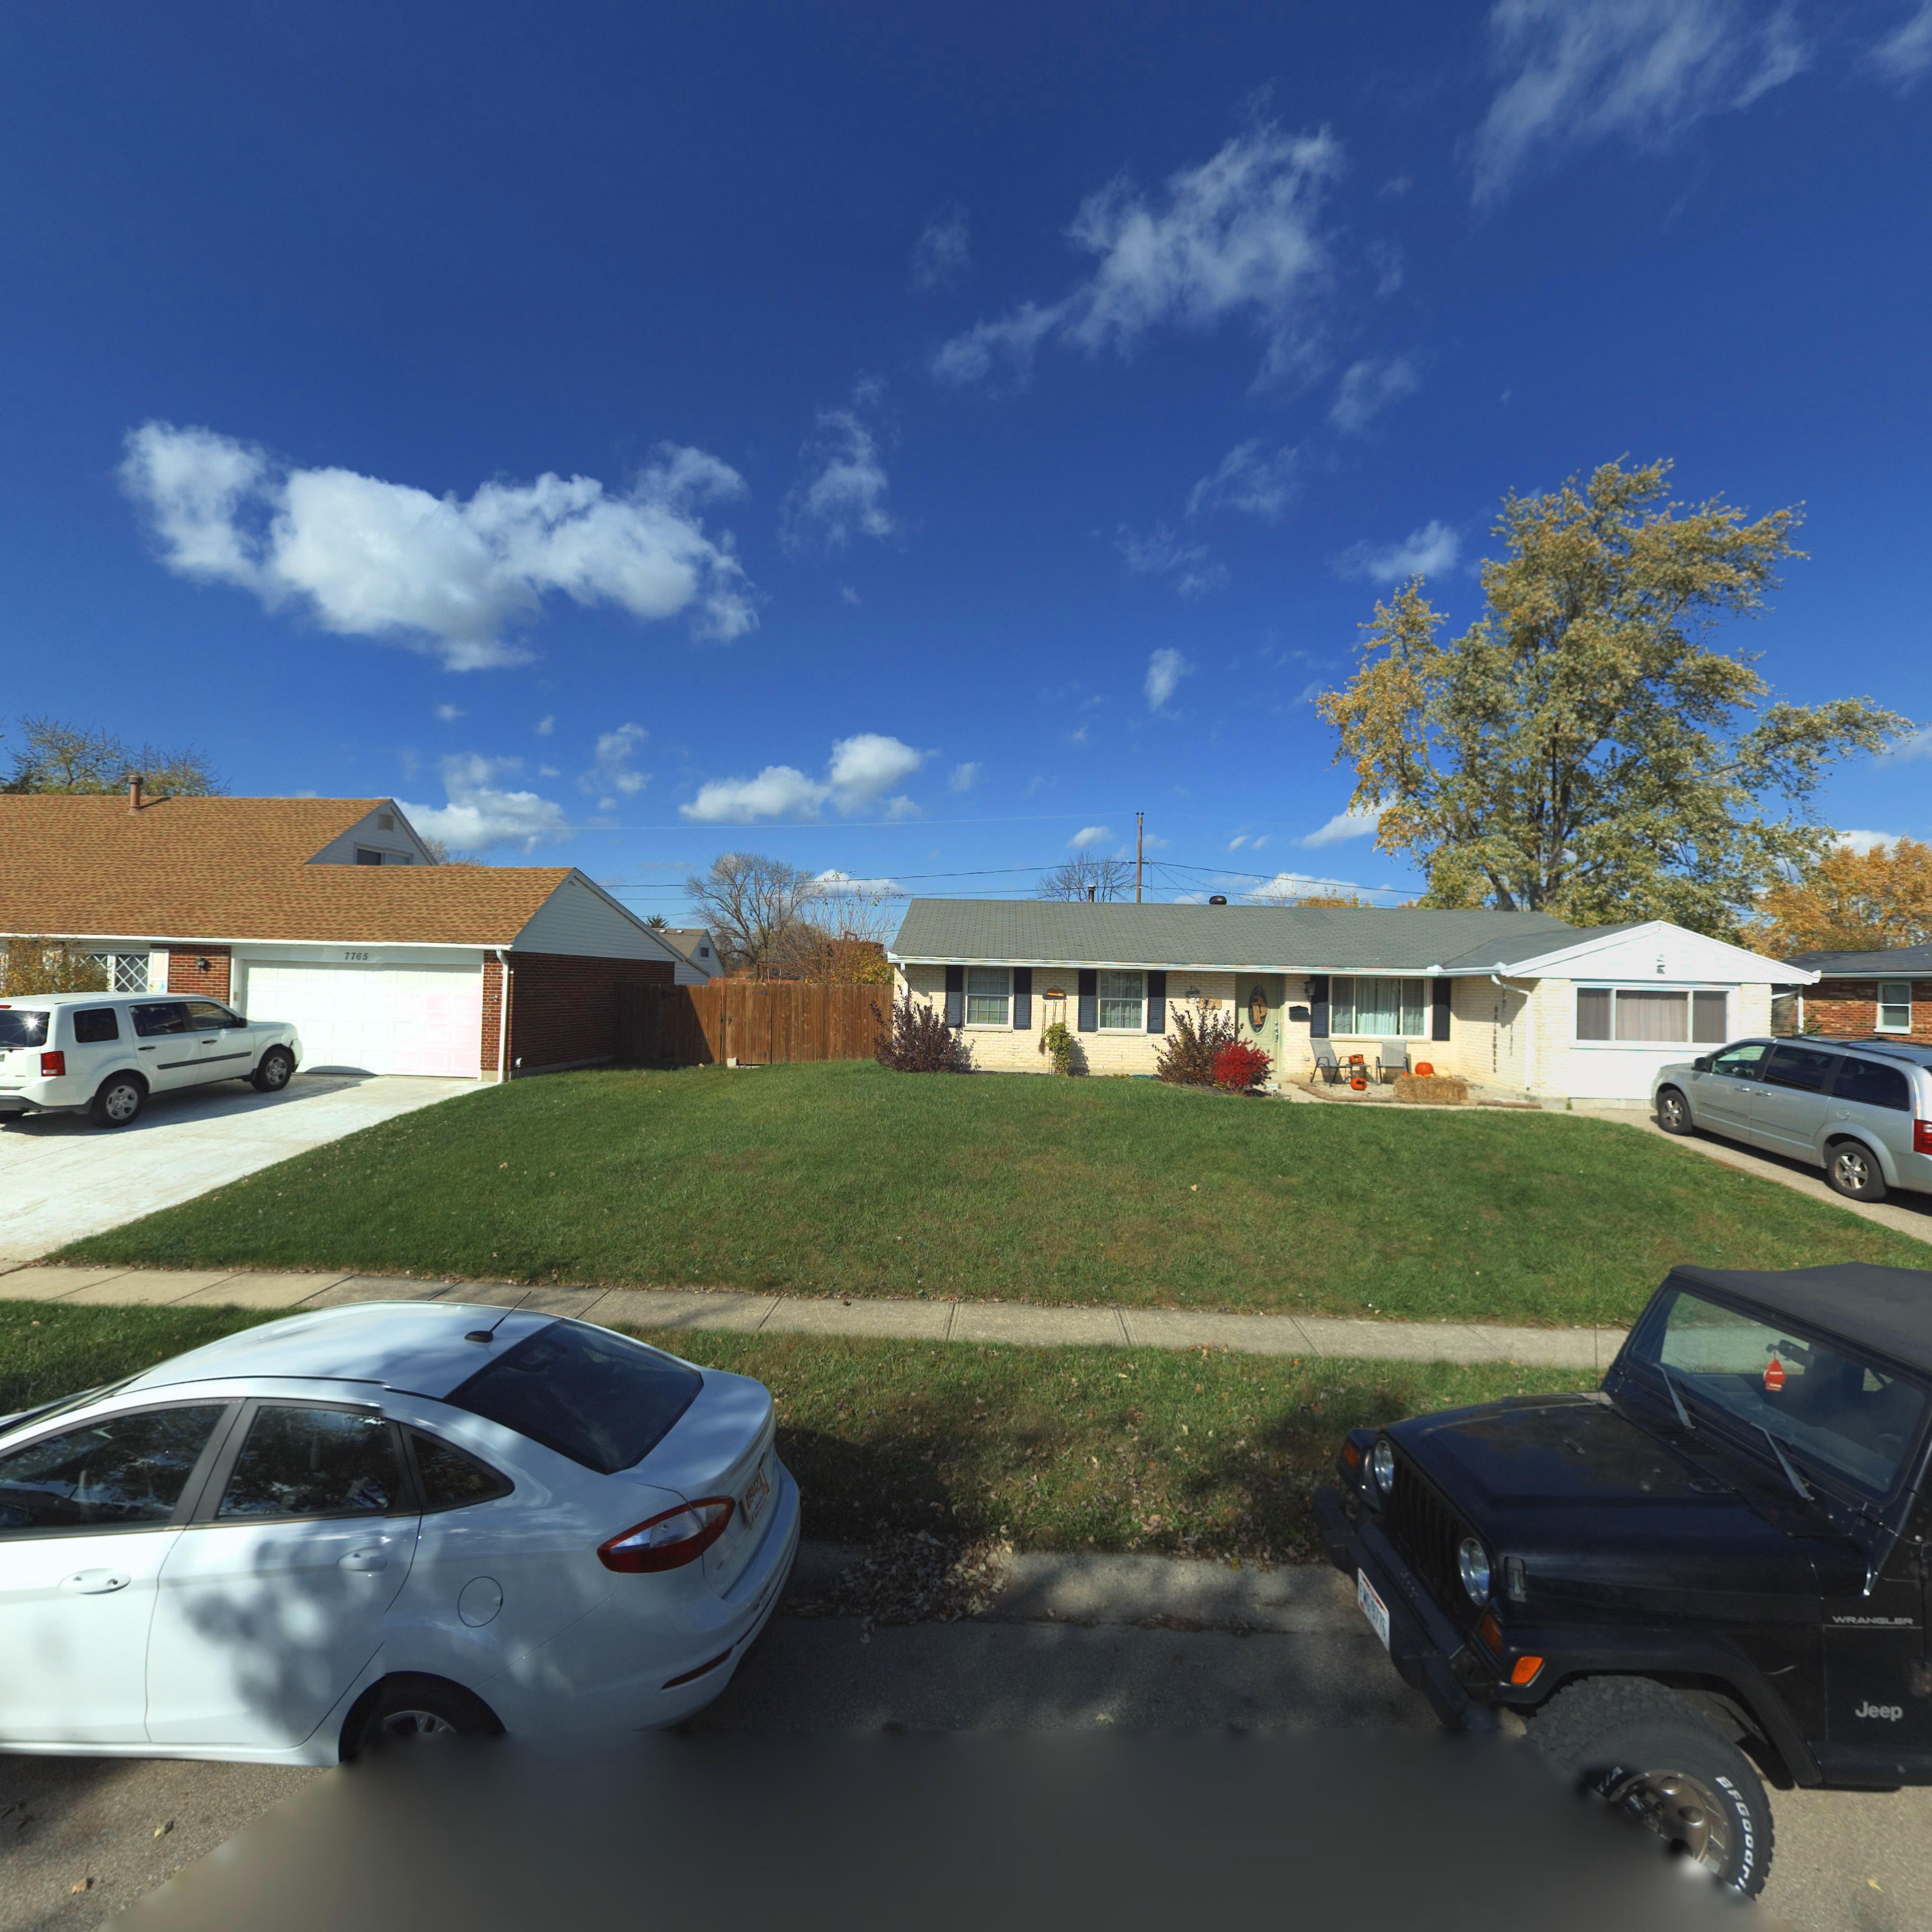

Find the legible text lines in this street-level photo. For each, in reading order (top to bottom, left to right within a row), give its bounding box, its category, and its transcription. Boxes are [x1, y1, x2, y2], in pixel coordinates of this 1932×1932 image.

[344, 951, 368, 961] StreetNumber: 7765
[1211, 1000, 1220, 1008] StreetNumber: 71